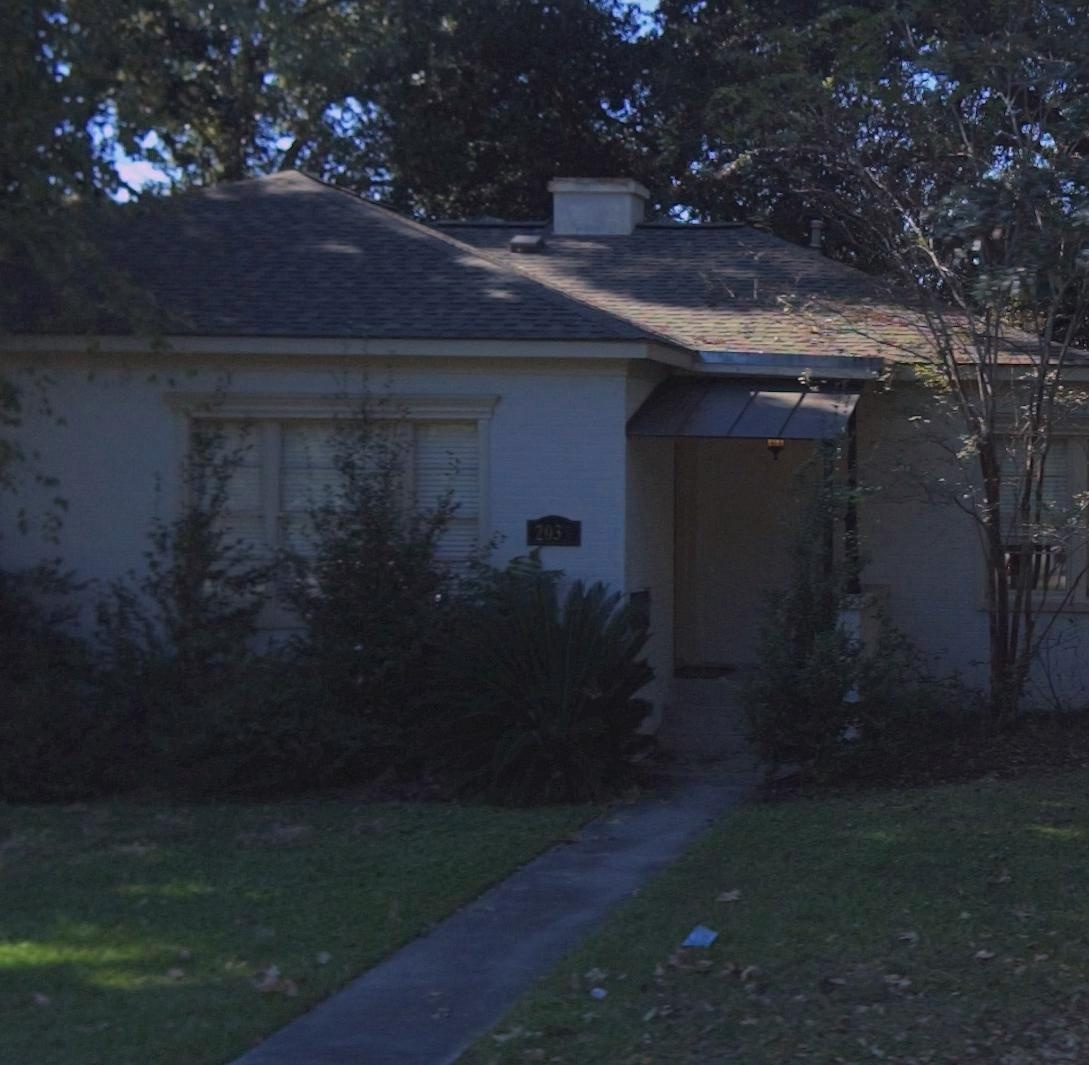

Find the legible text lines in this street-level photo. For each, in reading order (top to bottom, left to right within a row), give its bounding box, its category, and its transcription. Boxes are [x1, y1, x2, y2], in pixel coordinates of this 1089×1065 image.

[533, 522, 576, 542] StreetNumber: 203*